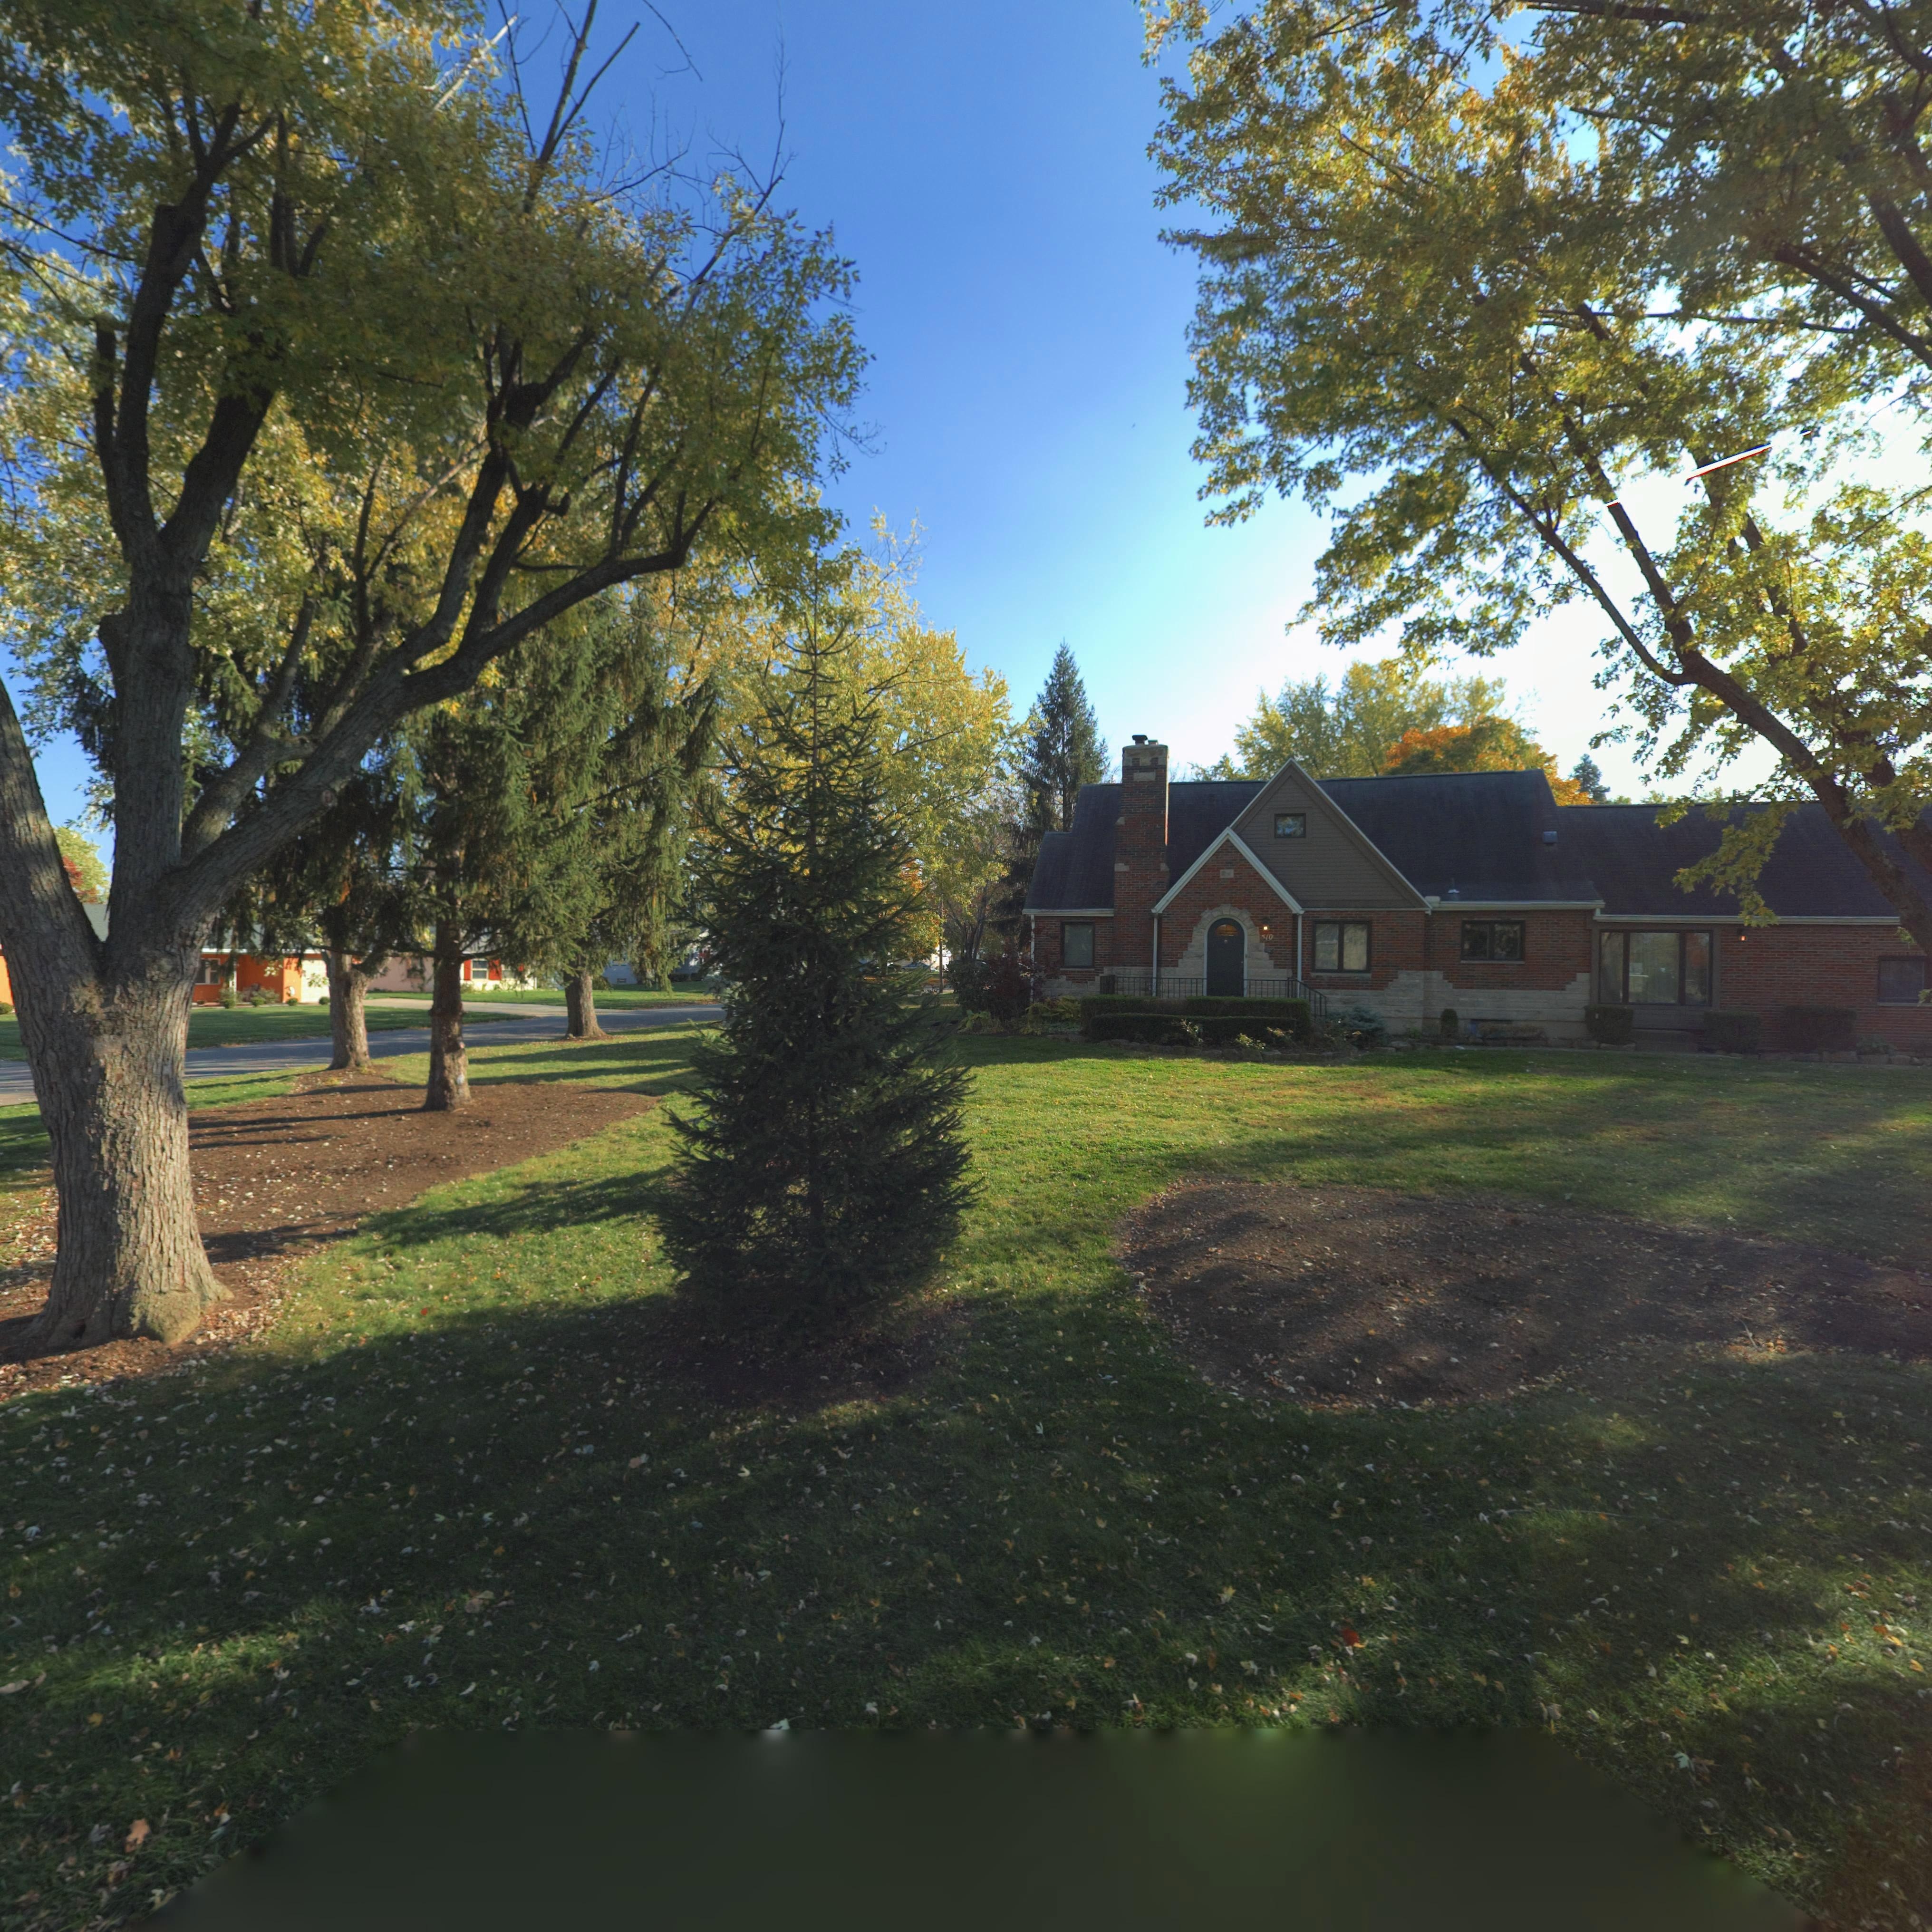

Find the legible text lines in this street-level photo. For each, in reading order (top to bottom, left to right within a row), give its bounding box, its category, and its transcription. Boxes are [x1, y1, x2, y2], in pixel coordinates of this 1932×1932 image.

[1261, 933, 1274, 941] StreetNumber: *10